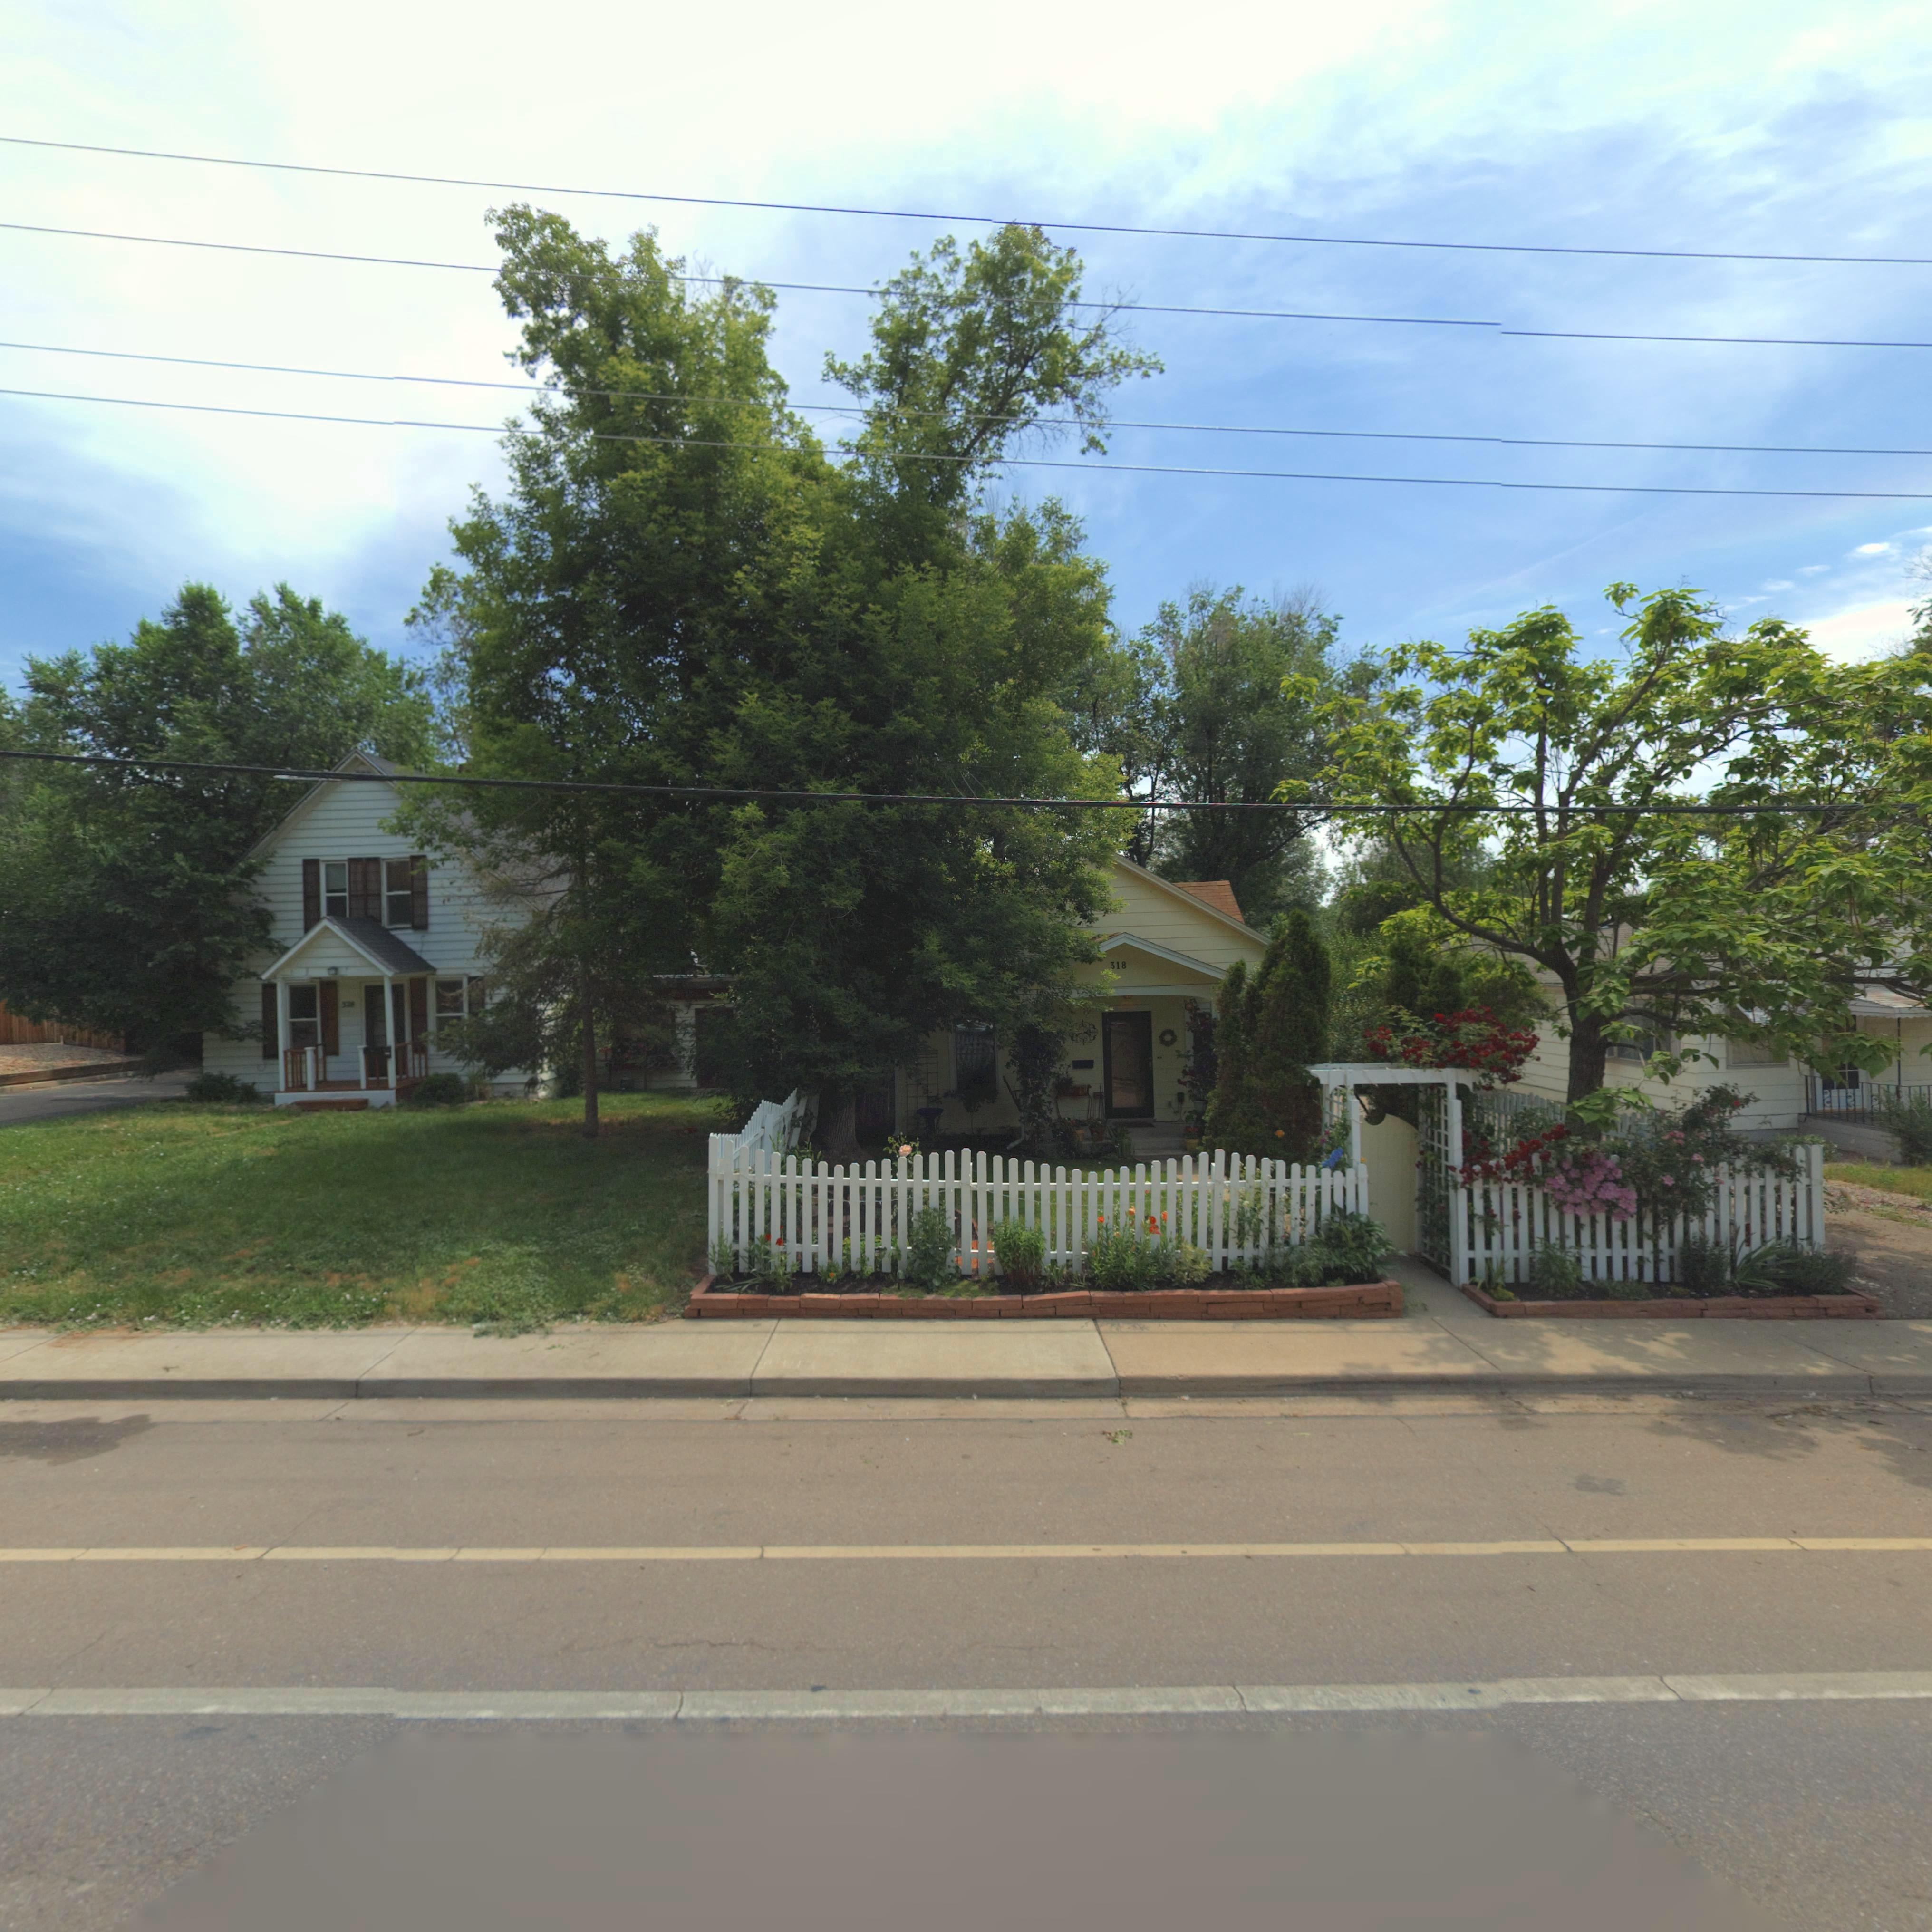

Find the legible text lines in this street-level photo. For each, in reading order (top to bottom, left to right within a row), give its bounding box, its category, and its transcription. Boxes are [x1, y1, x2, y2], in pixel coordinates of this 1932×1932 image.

[1109, 960, 1126, 970] StreetNumber: 318